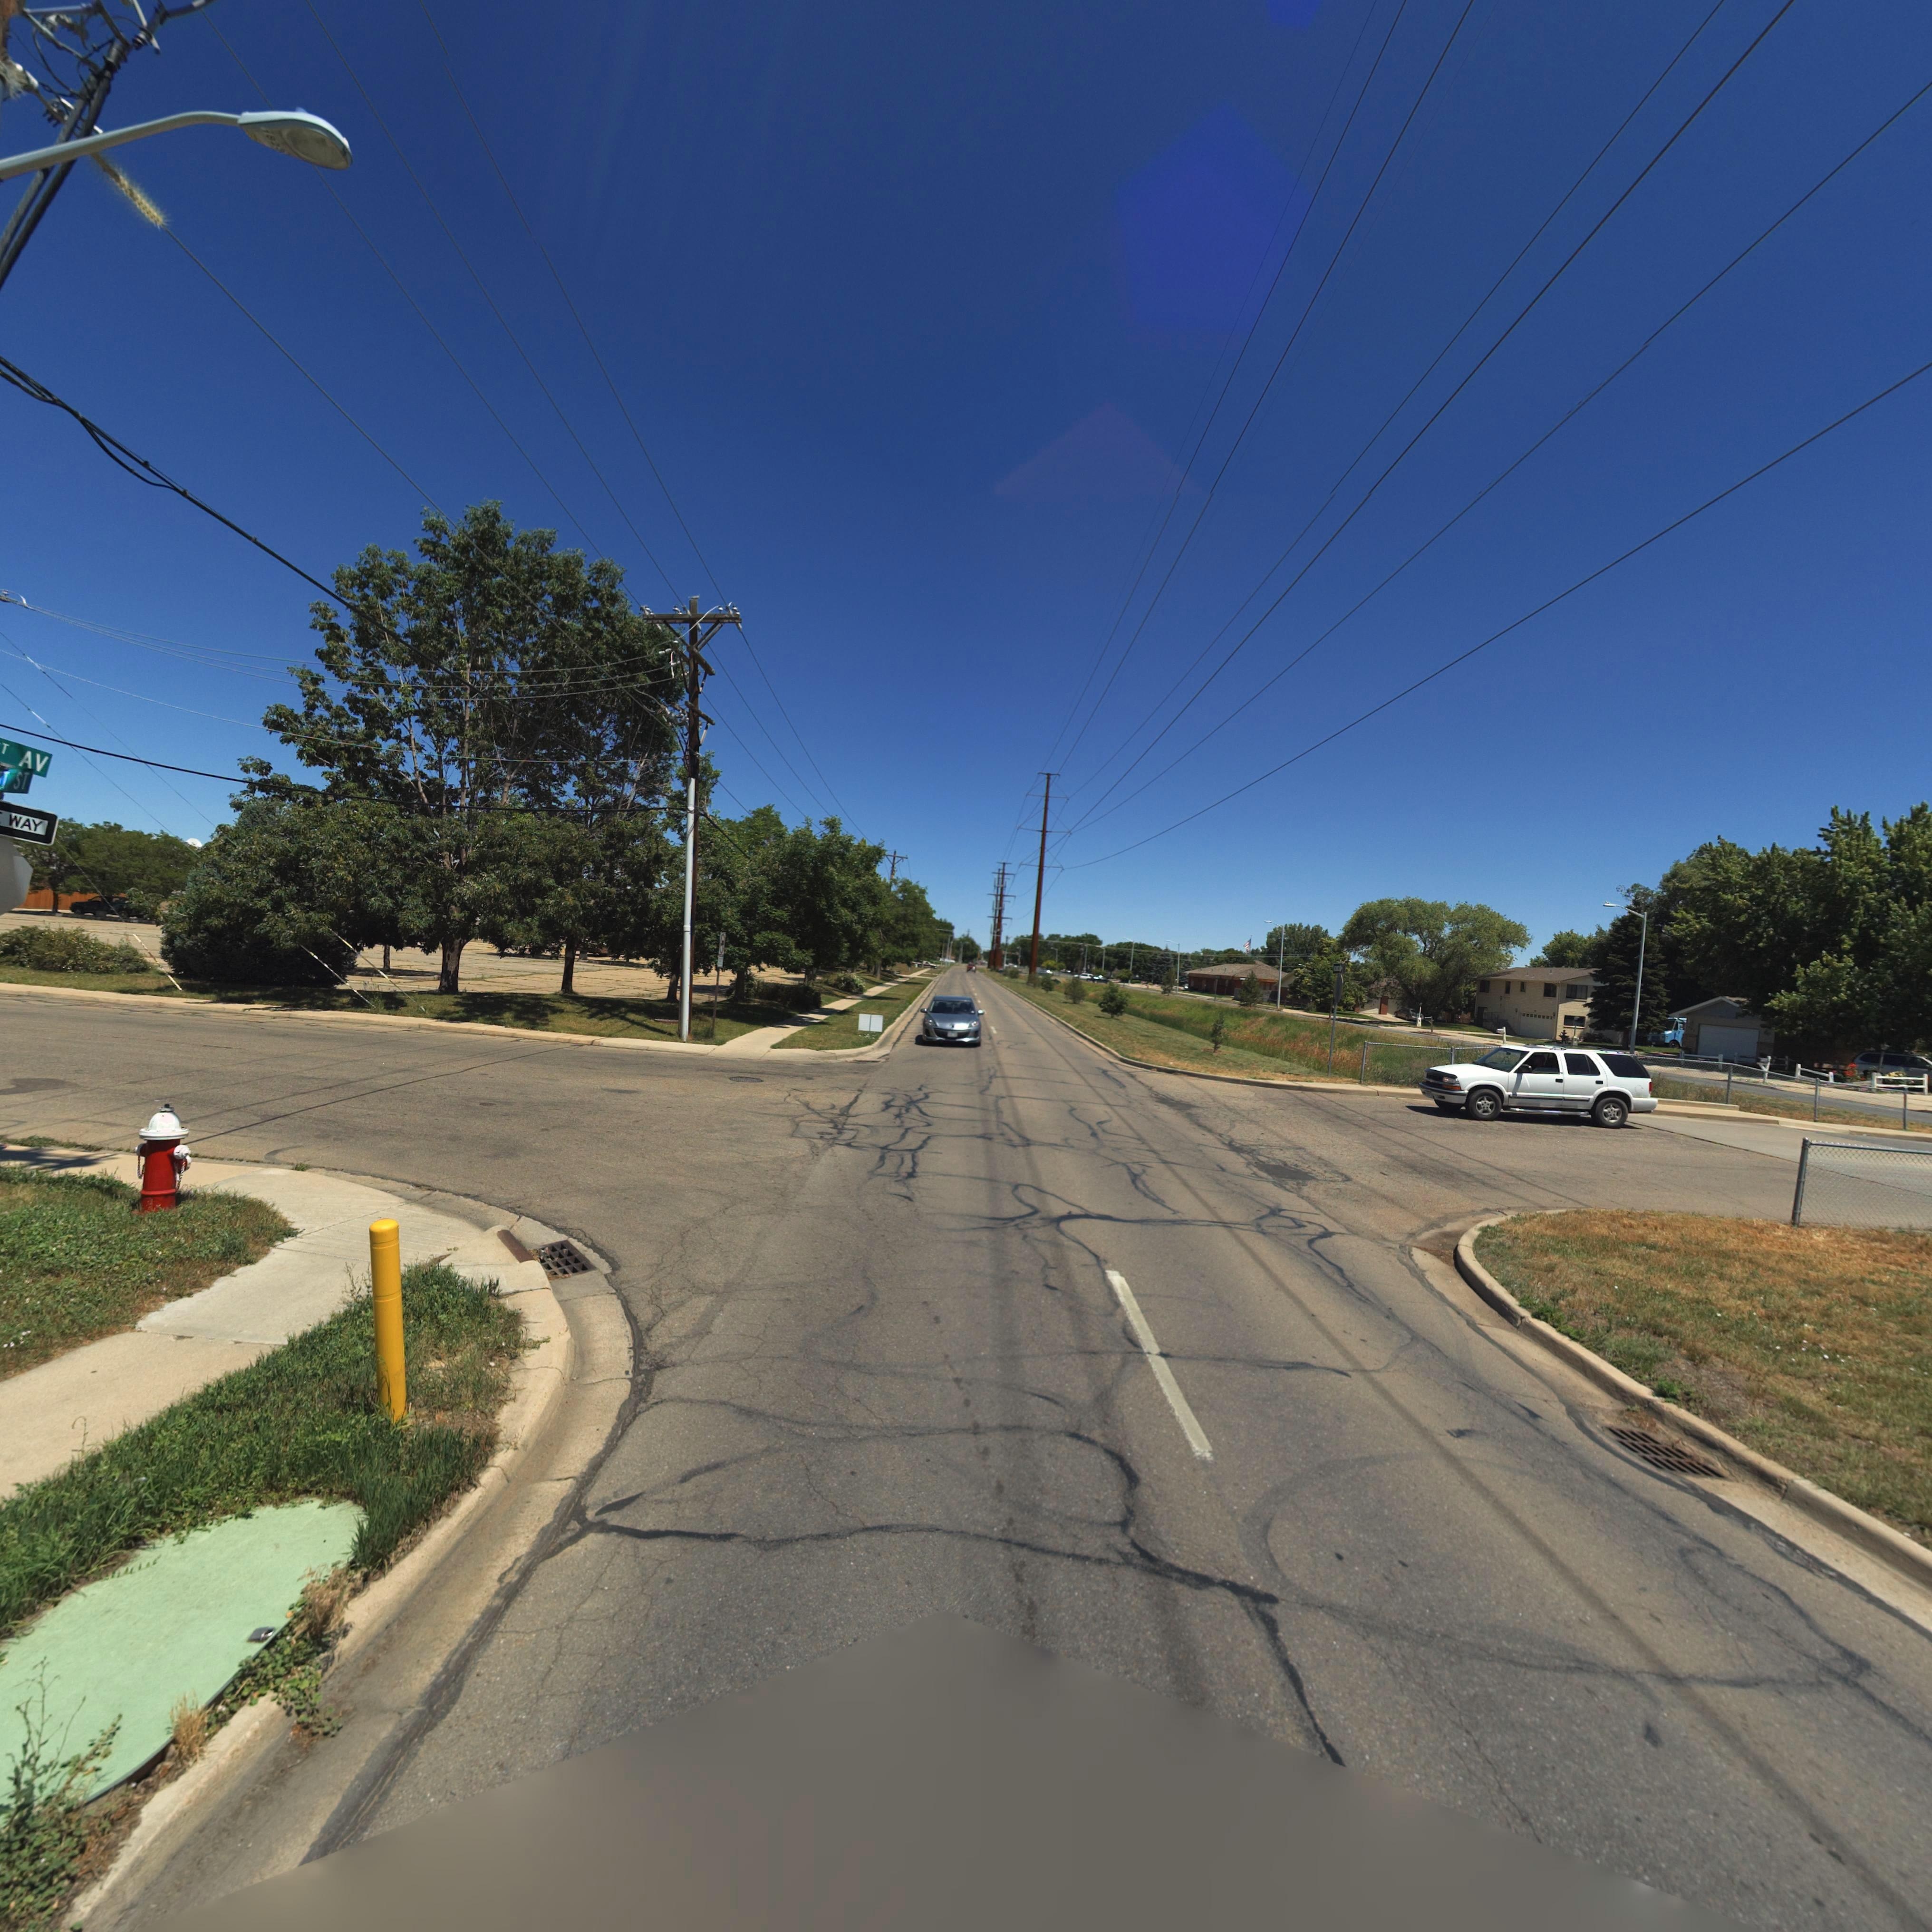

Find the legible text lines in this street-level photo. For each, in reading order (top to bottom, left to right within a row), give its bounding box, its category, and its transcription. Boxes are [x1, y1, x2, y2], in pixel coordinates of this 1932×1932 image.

[1, 742, 49, 773] StreetName: T AV
[0, 771, 30, 790] StreetName: T ST